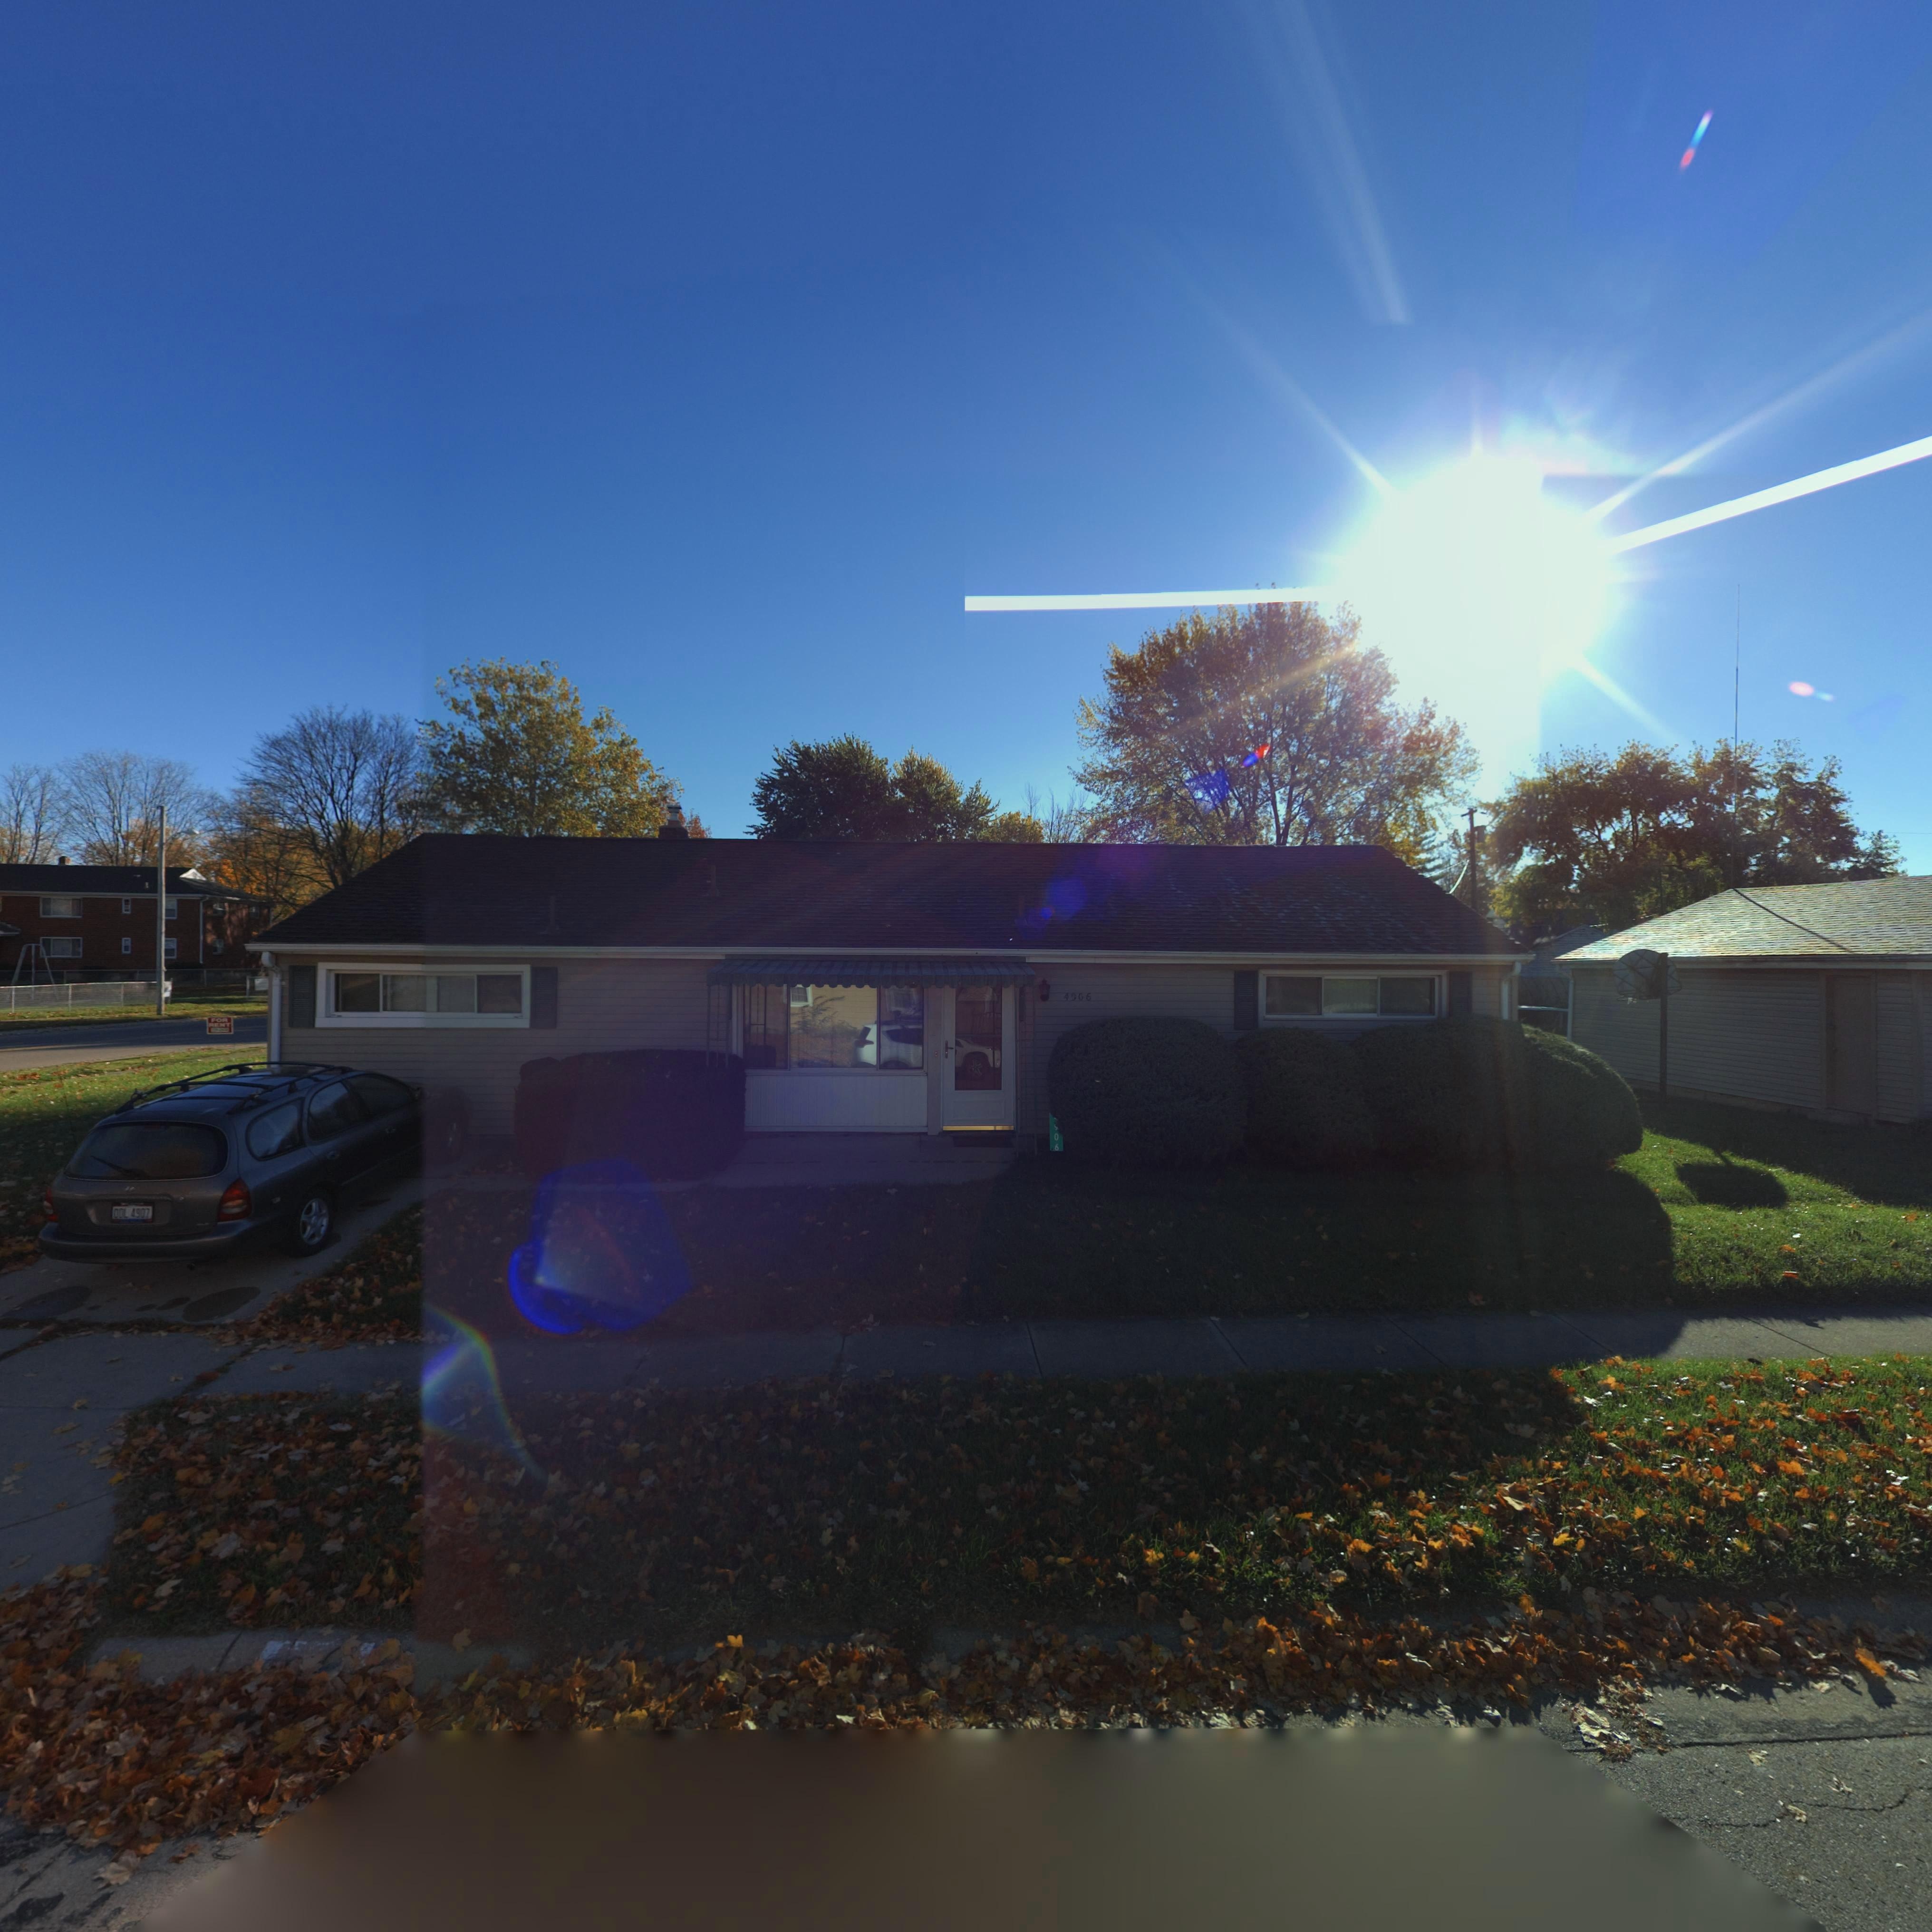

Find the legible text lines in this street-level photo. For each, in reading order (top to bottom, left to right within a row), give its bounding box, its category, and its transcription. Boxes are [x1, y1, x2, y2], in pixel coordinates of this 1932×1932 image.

[1063, 992, 1092, 1002] StreetNumber: 4906